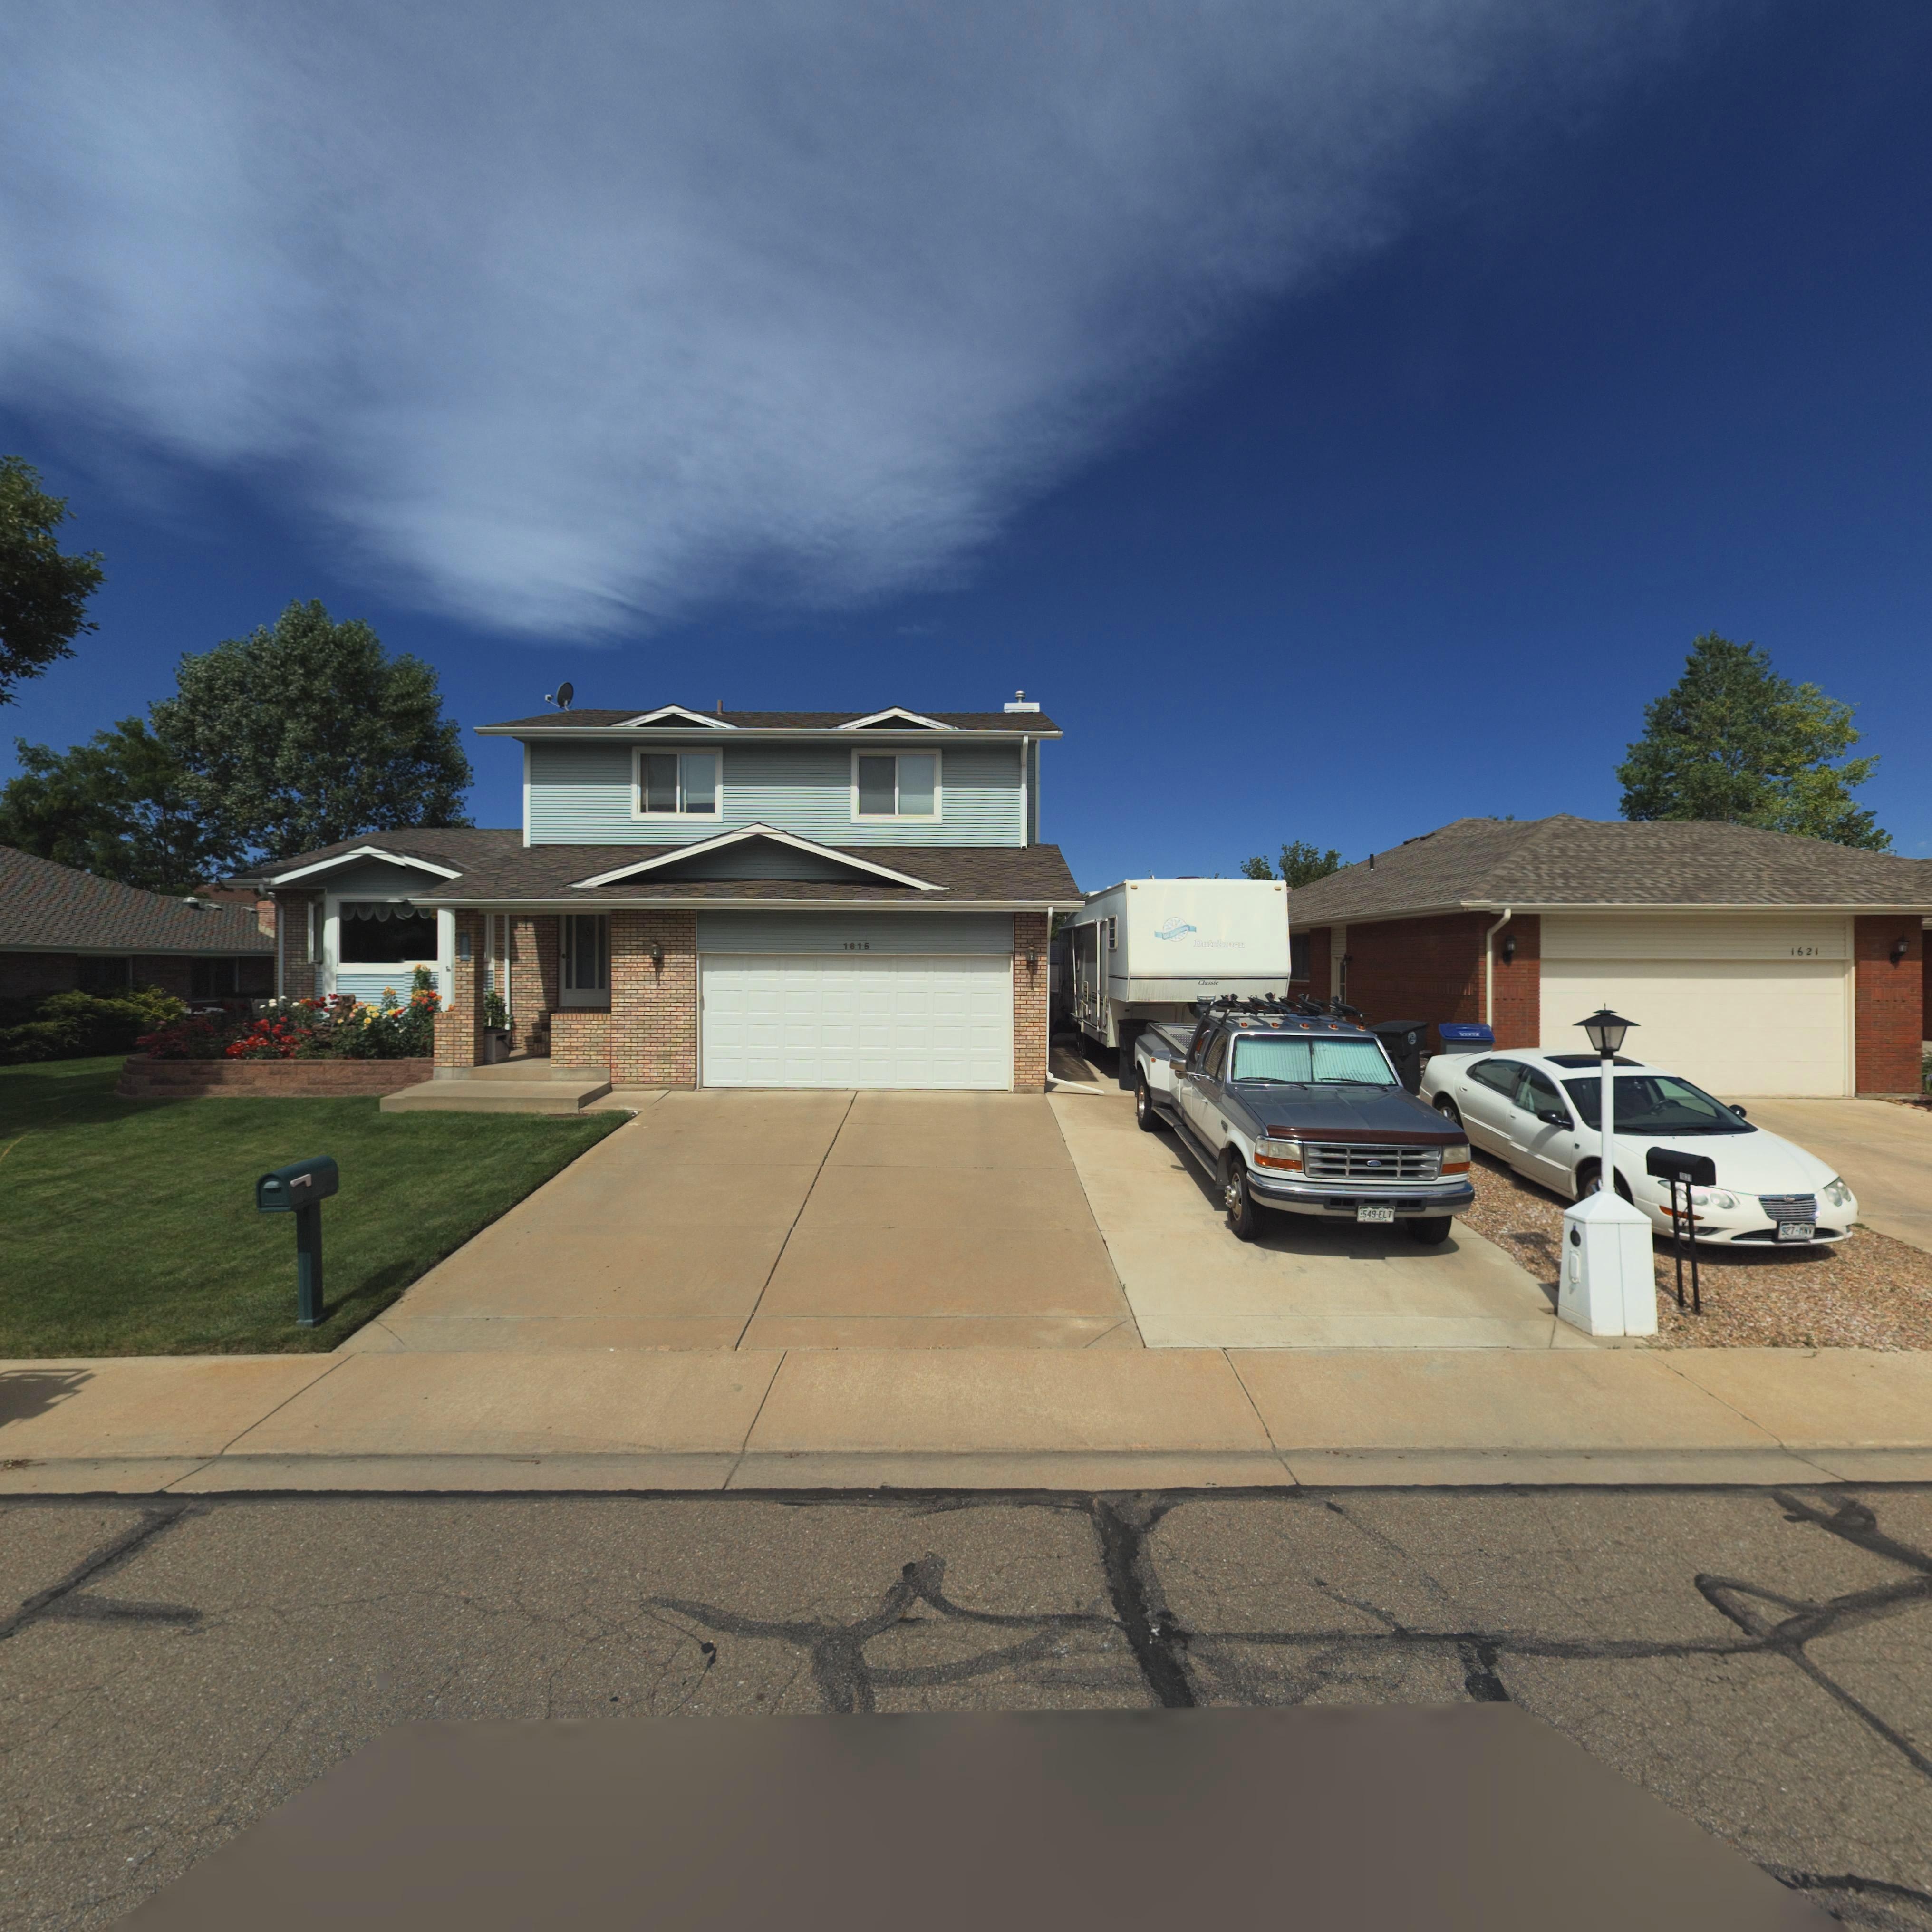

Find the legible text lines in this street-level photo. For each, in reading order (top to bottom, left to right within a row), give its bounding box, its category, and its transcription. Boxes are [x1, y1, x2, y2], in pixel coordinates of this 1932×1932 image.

[842, 941, 870, 951] StreetNumber: 1615
[1790, 946, 1819, 956] StreetNumber: 1621
[1680, 1172, 1691, 1181] StreetNumber: 1*21